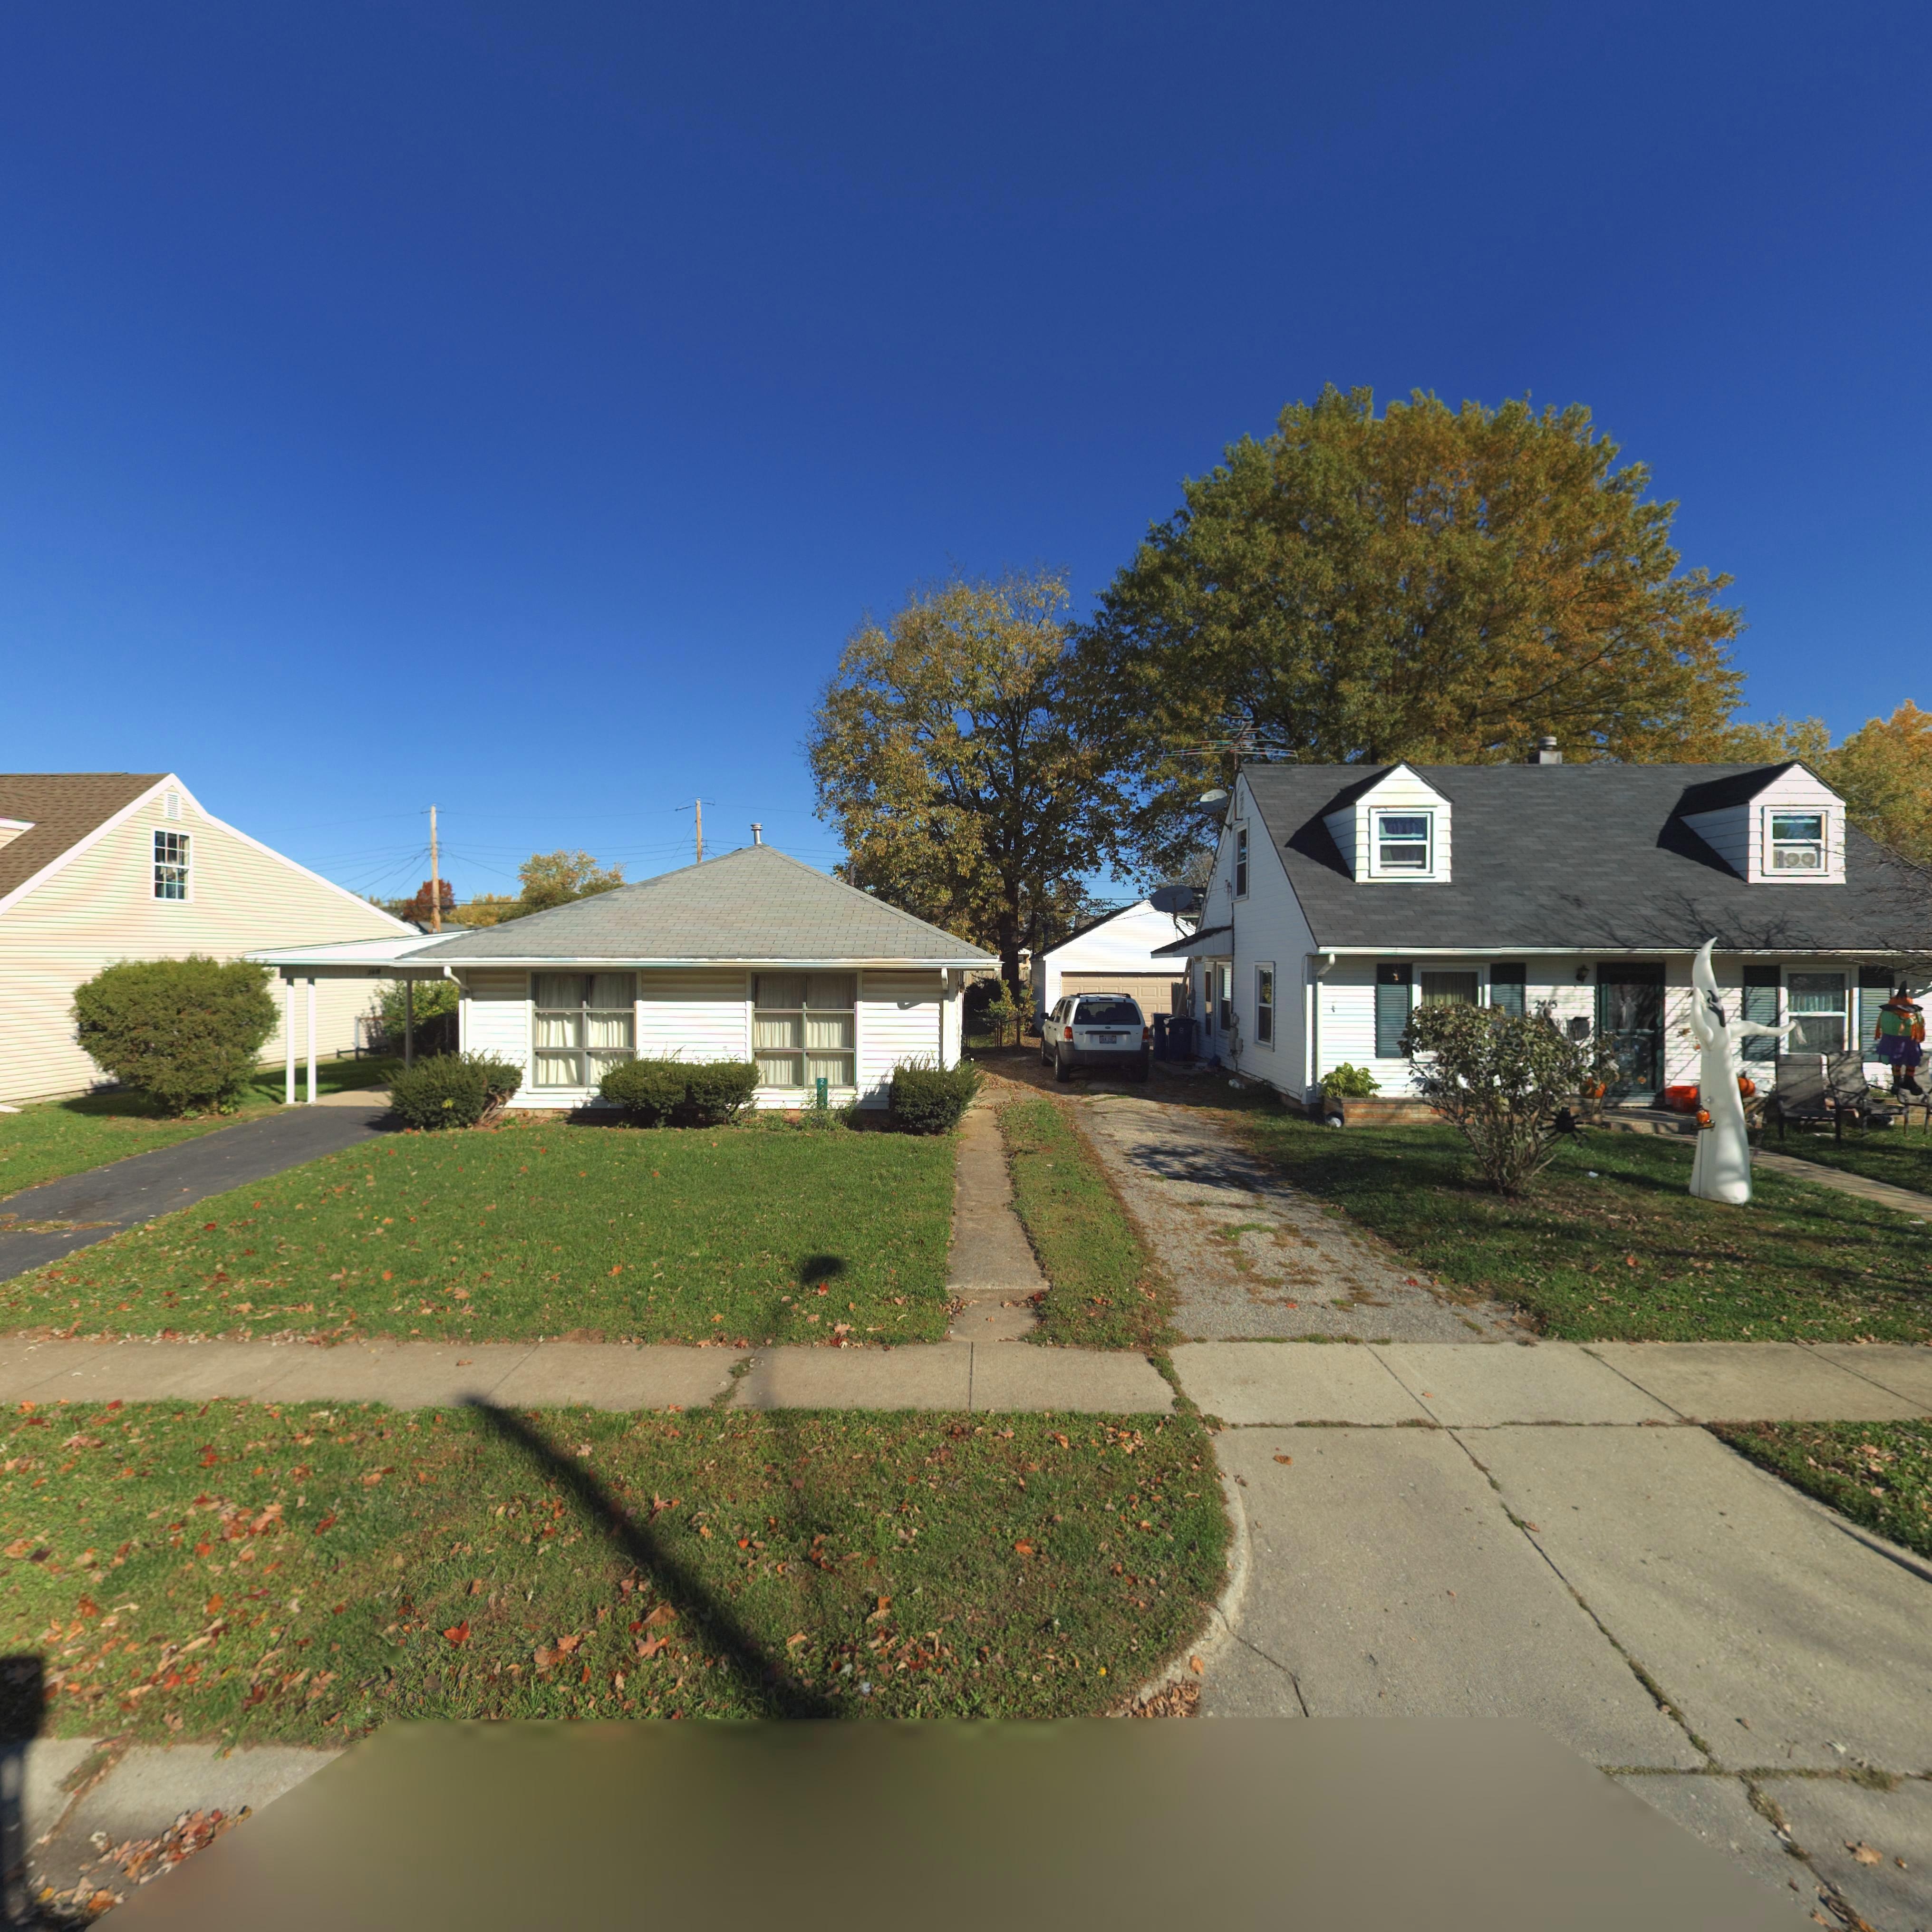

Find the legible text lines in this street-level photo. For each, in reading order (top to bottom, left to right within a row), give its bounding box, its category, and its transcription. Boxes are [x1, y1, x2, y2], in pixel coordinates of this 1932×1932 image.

[1534, 999, 1558, 1009] StreetNumber: 2**5
[820, 1078, 825, 1085] StreetNumber: 2